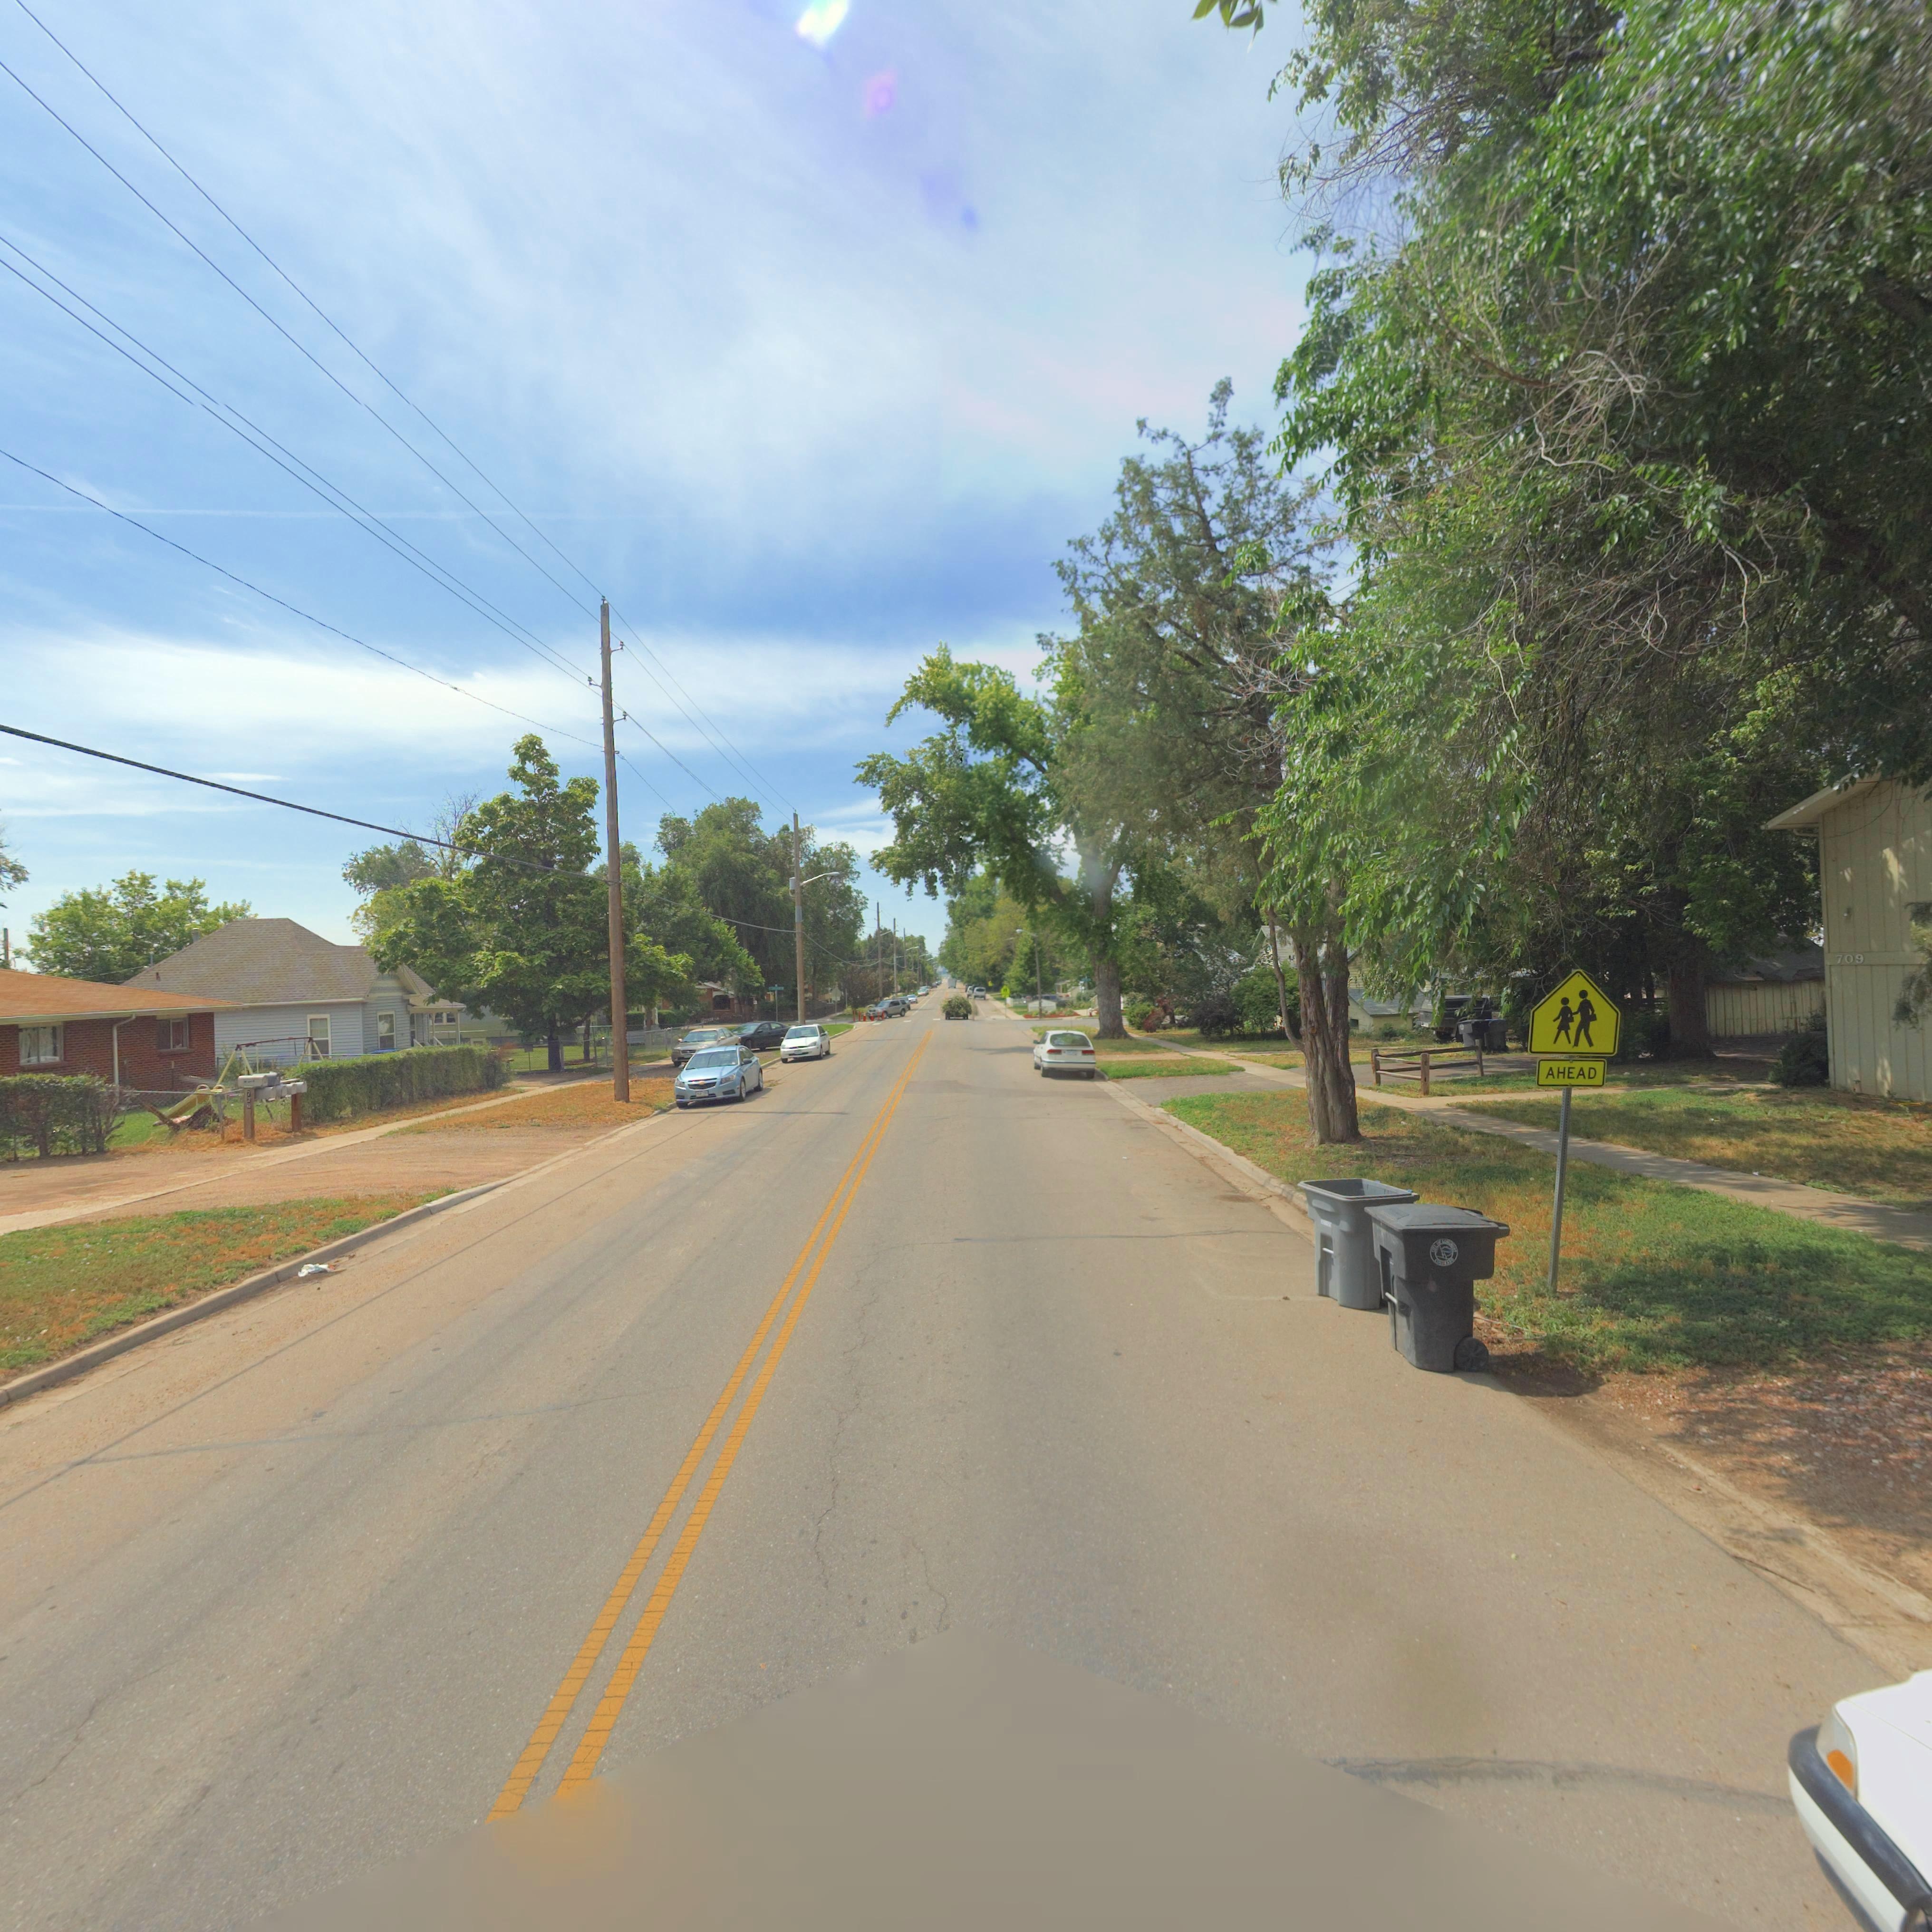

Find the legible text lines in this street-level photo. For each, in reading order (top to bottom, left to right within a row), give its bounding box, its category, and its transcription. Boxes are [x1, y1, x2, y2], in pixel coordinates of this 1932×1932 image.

[1835, 954, 1864, 964] StreetNumber: 709
[246, 1091, 250, 1108] StreetNumber: 72*